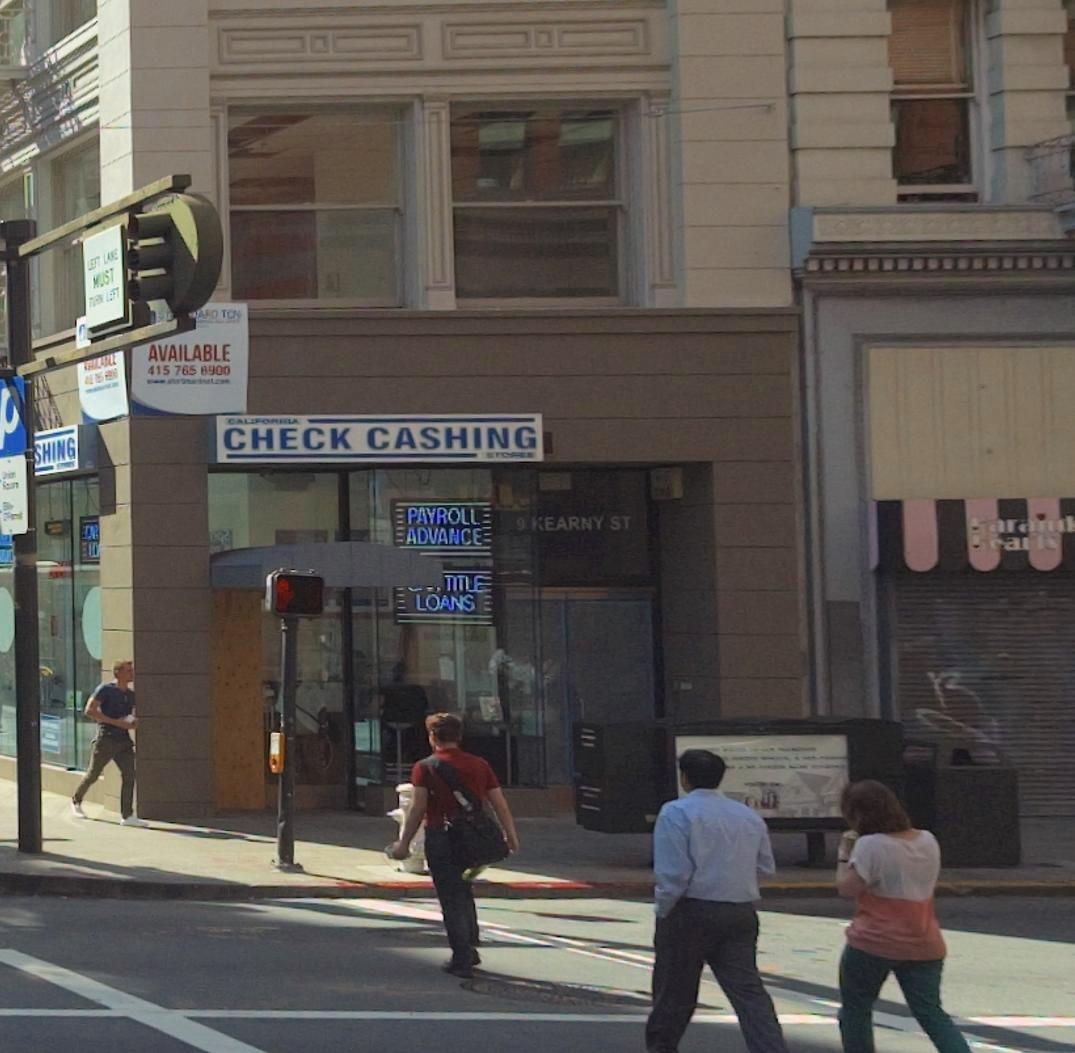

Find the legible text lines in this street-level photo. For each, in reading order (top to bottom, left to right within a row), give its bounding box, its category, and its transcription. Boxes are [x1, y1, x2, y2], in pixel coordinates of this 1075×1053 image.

[86, 246, 119, 272] None: LEFT LANE
[92, 265, 116, 291] None: MUST
[88, 285, 120, 310] None: TURN LEFT
[145, 343, 232, 363] None: AVAILABLE
[145, 364, 231, 376] None: 415 765 8900
[0, 383, 23, 451] None: P
[226, 417, 301, 424] BusinessName: CALIFORNIA
[222, 425, 538, 450] BusinessName: CHECK CASHING
[41, 435, 74, 465] None: HING
[407, 506, 483, 526] None: PAYROLL
[516, 516, 526, 532] StreetNumber: 9
[531, 516, 634, 531] StreetName: KEARNY ST
[404, 527, 483, 546] None: ADVANCE
[443, 574, 485, 592] None: TITLE
[414, 593, 477, 613] None: LOANS